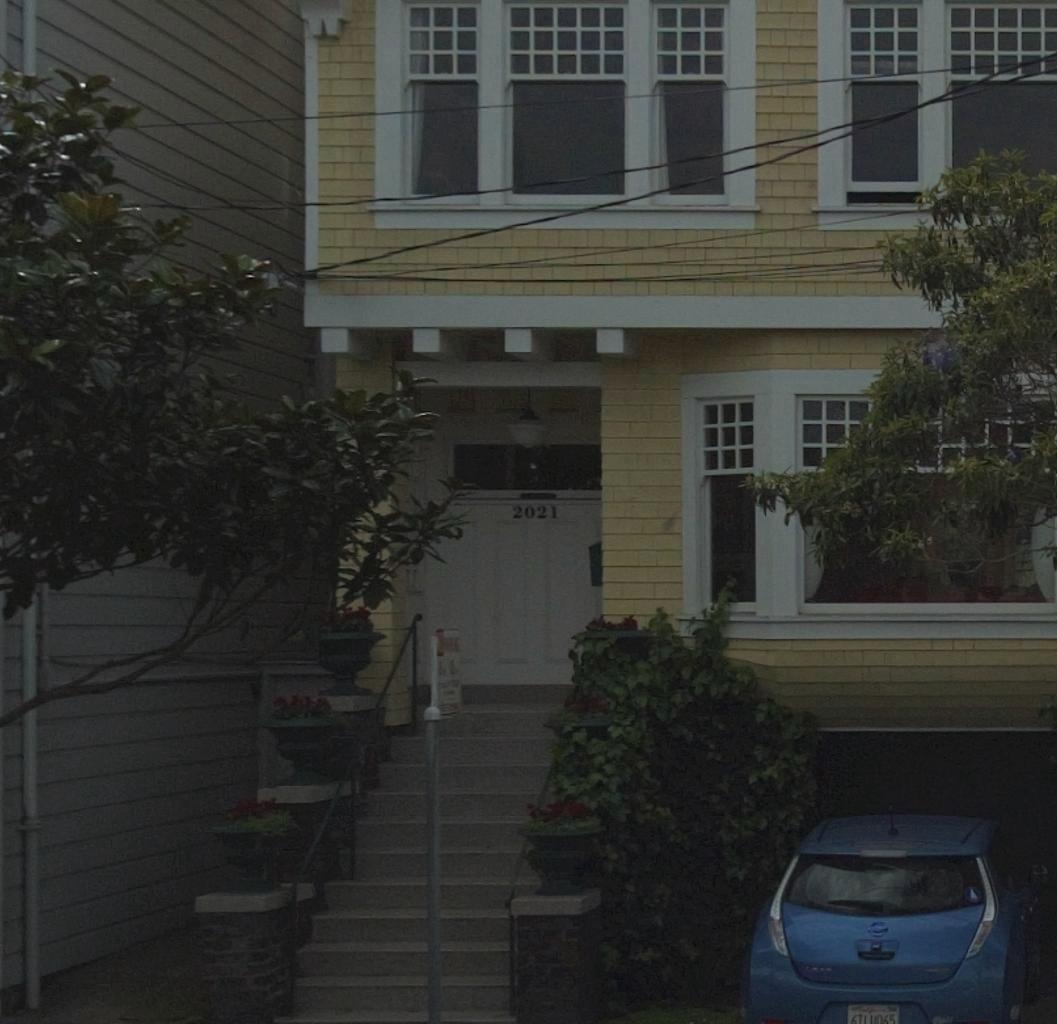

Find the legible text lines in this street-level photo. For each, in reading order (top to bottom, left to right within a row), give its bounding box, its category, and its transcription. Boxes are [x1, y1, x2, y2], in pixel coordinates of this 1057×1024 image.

[512, 504, 559, 520] StreetNumber: 2021